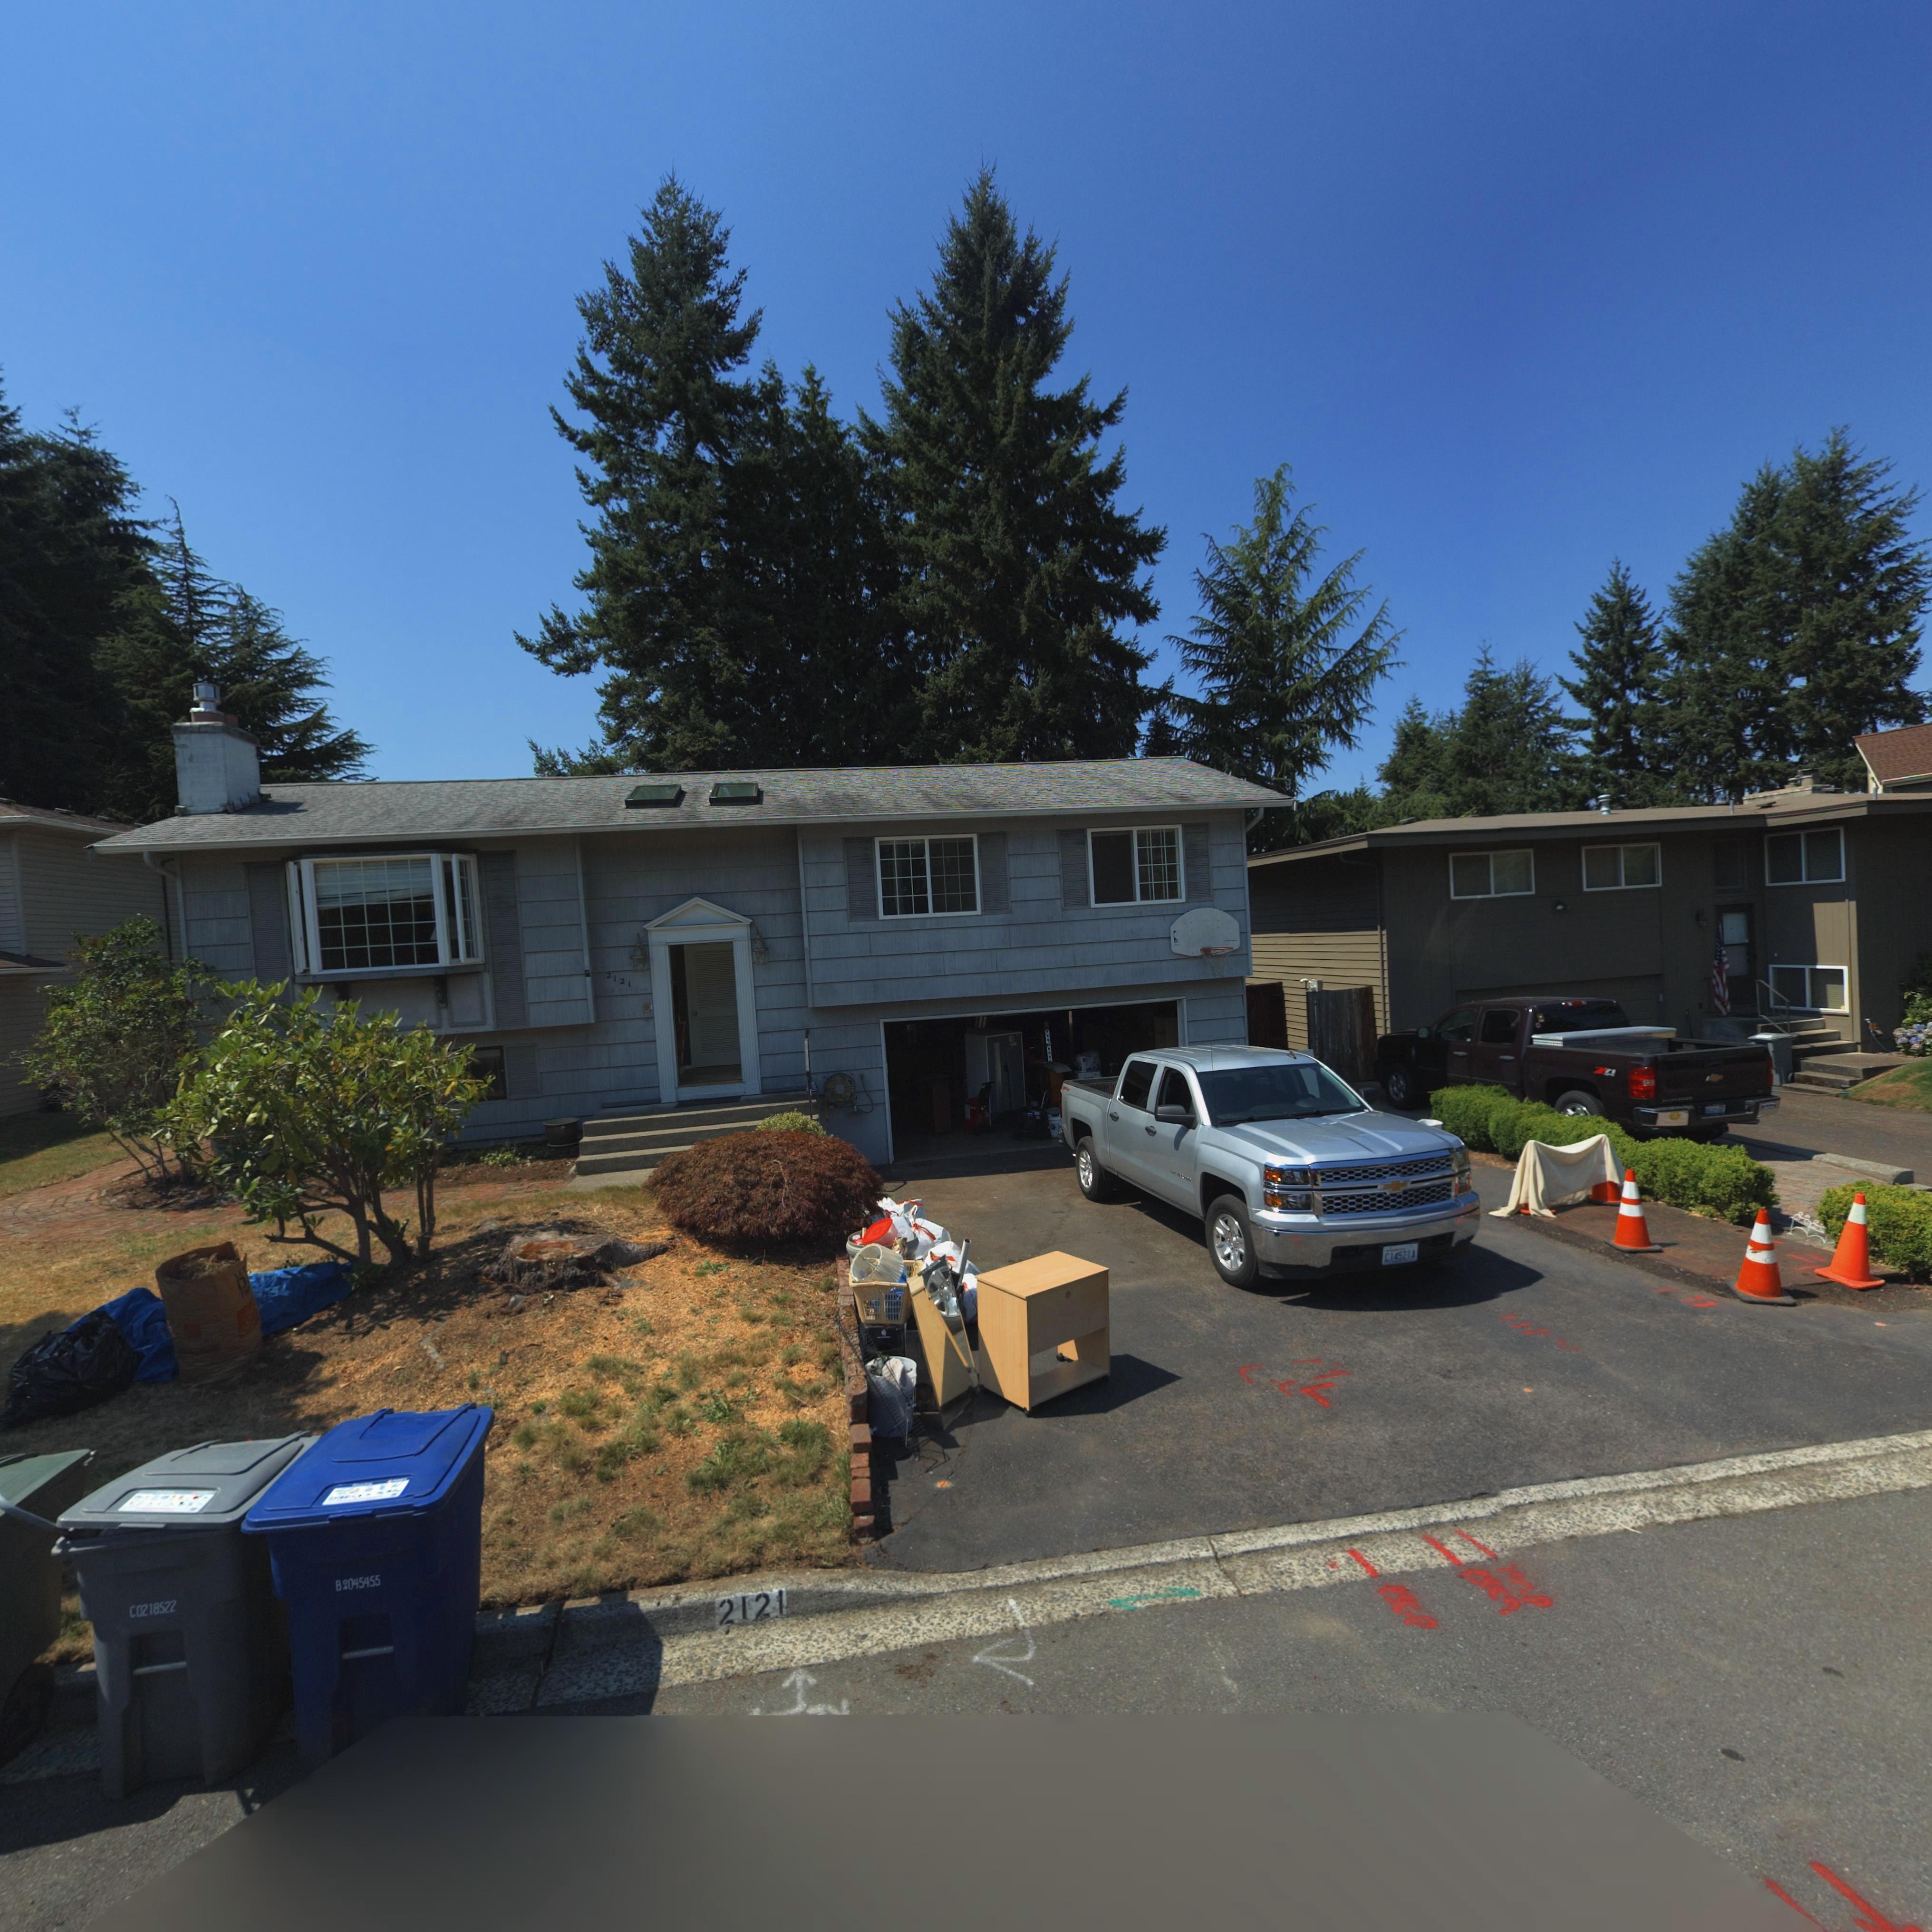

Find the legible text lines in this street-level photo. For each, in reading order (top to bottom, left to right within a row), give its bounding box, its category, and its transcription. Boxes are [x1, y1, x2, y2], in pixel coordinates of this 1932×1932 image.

[607, 970, 632, 988] StreetNumber: 2121